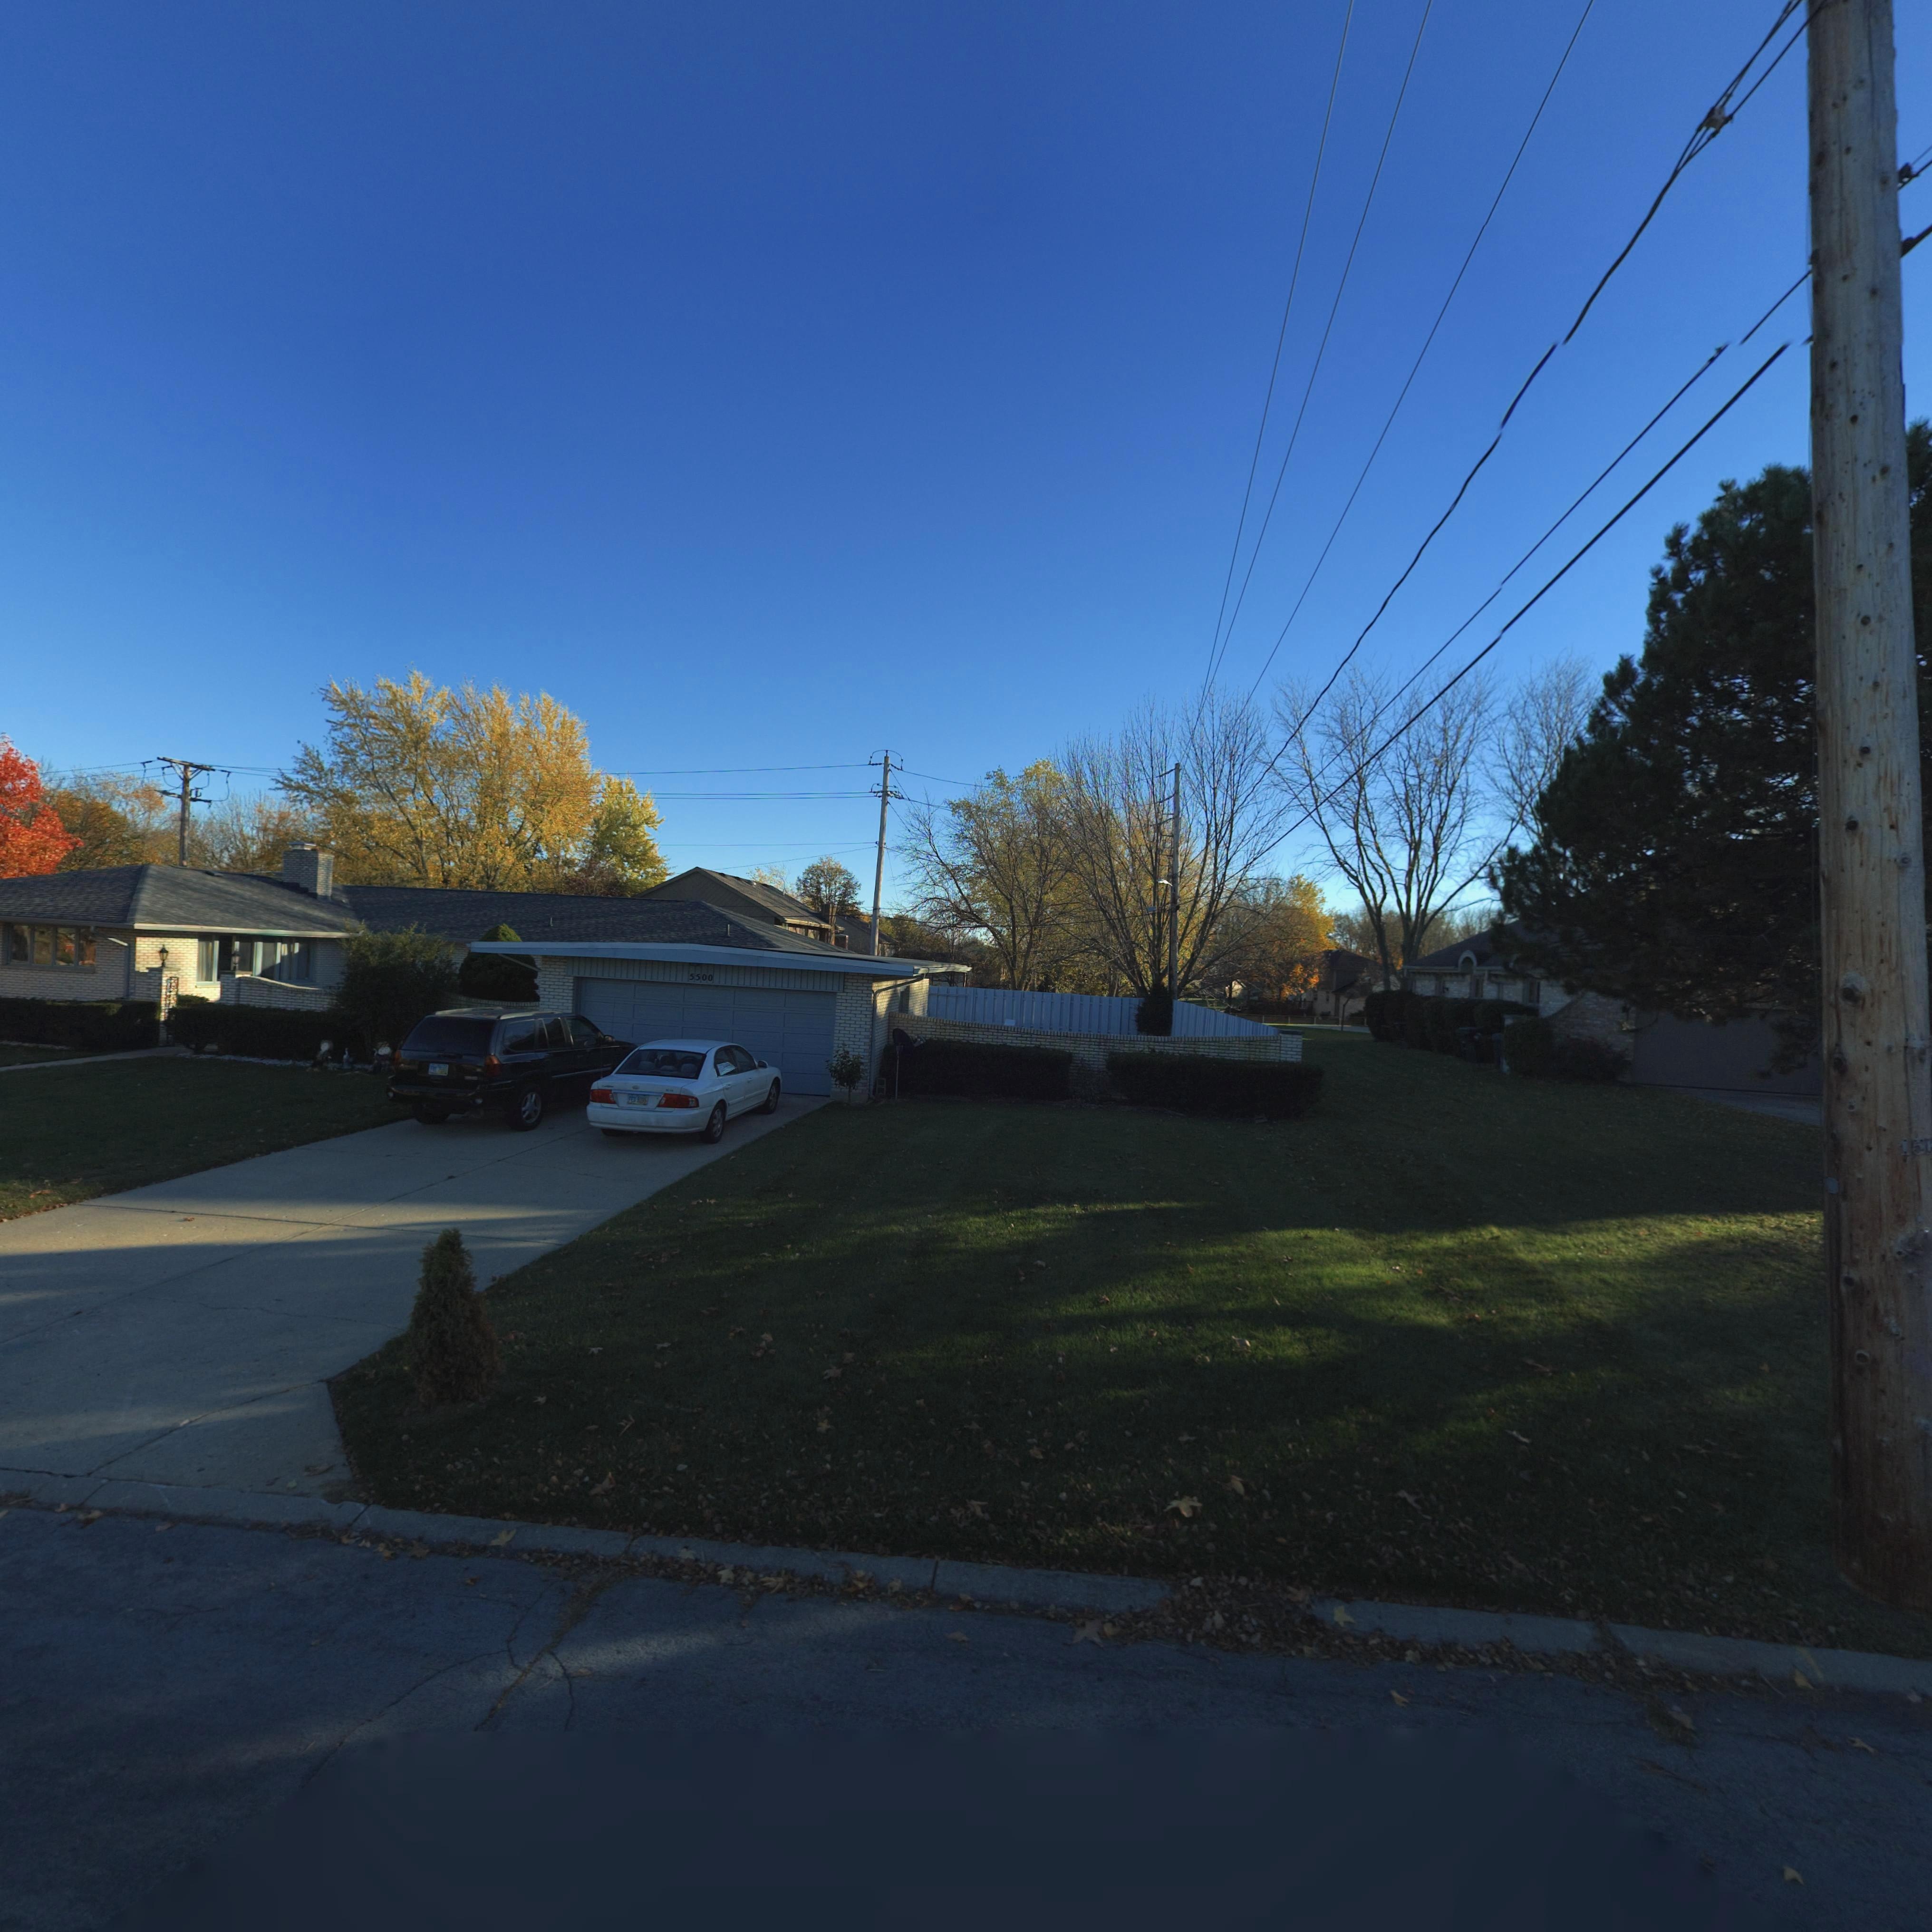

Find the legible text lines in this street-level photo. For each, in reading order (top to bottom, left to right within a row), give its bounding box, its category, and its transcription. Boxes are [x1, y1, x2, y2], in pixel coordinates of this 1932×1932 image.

[688, 972, 714, 983] StreetNumber: 5500